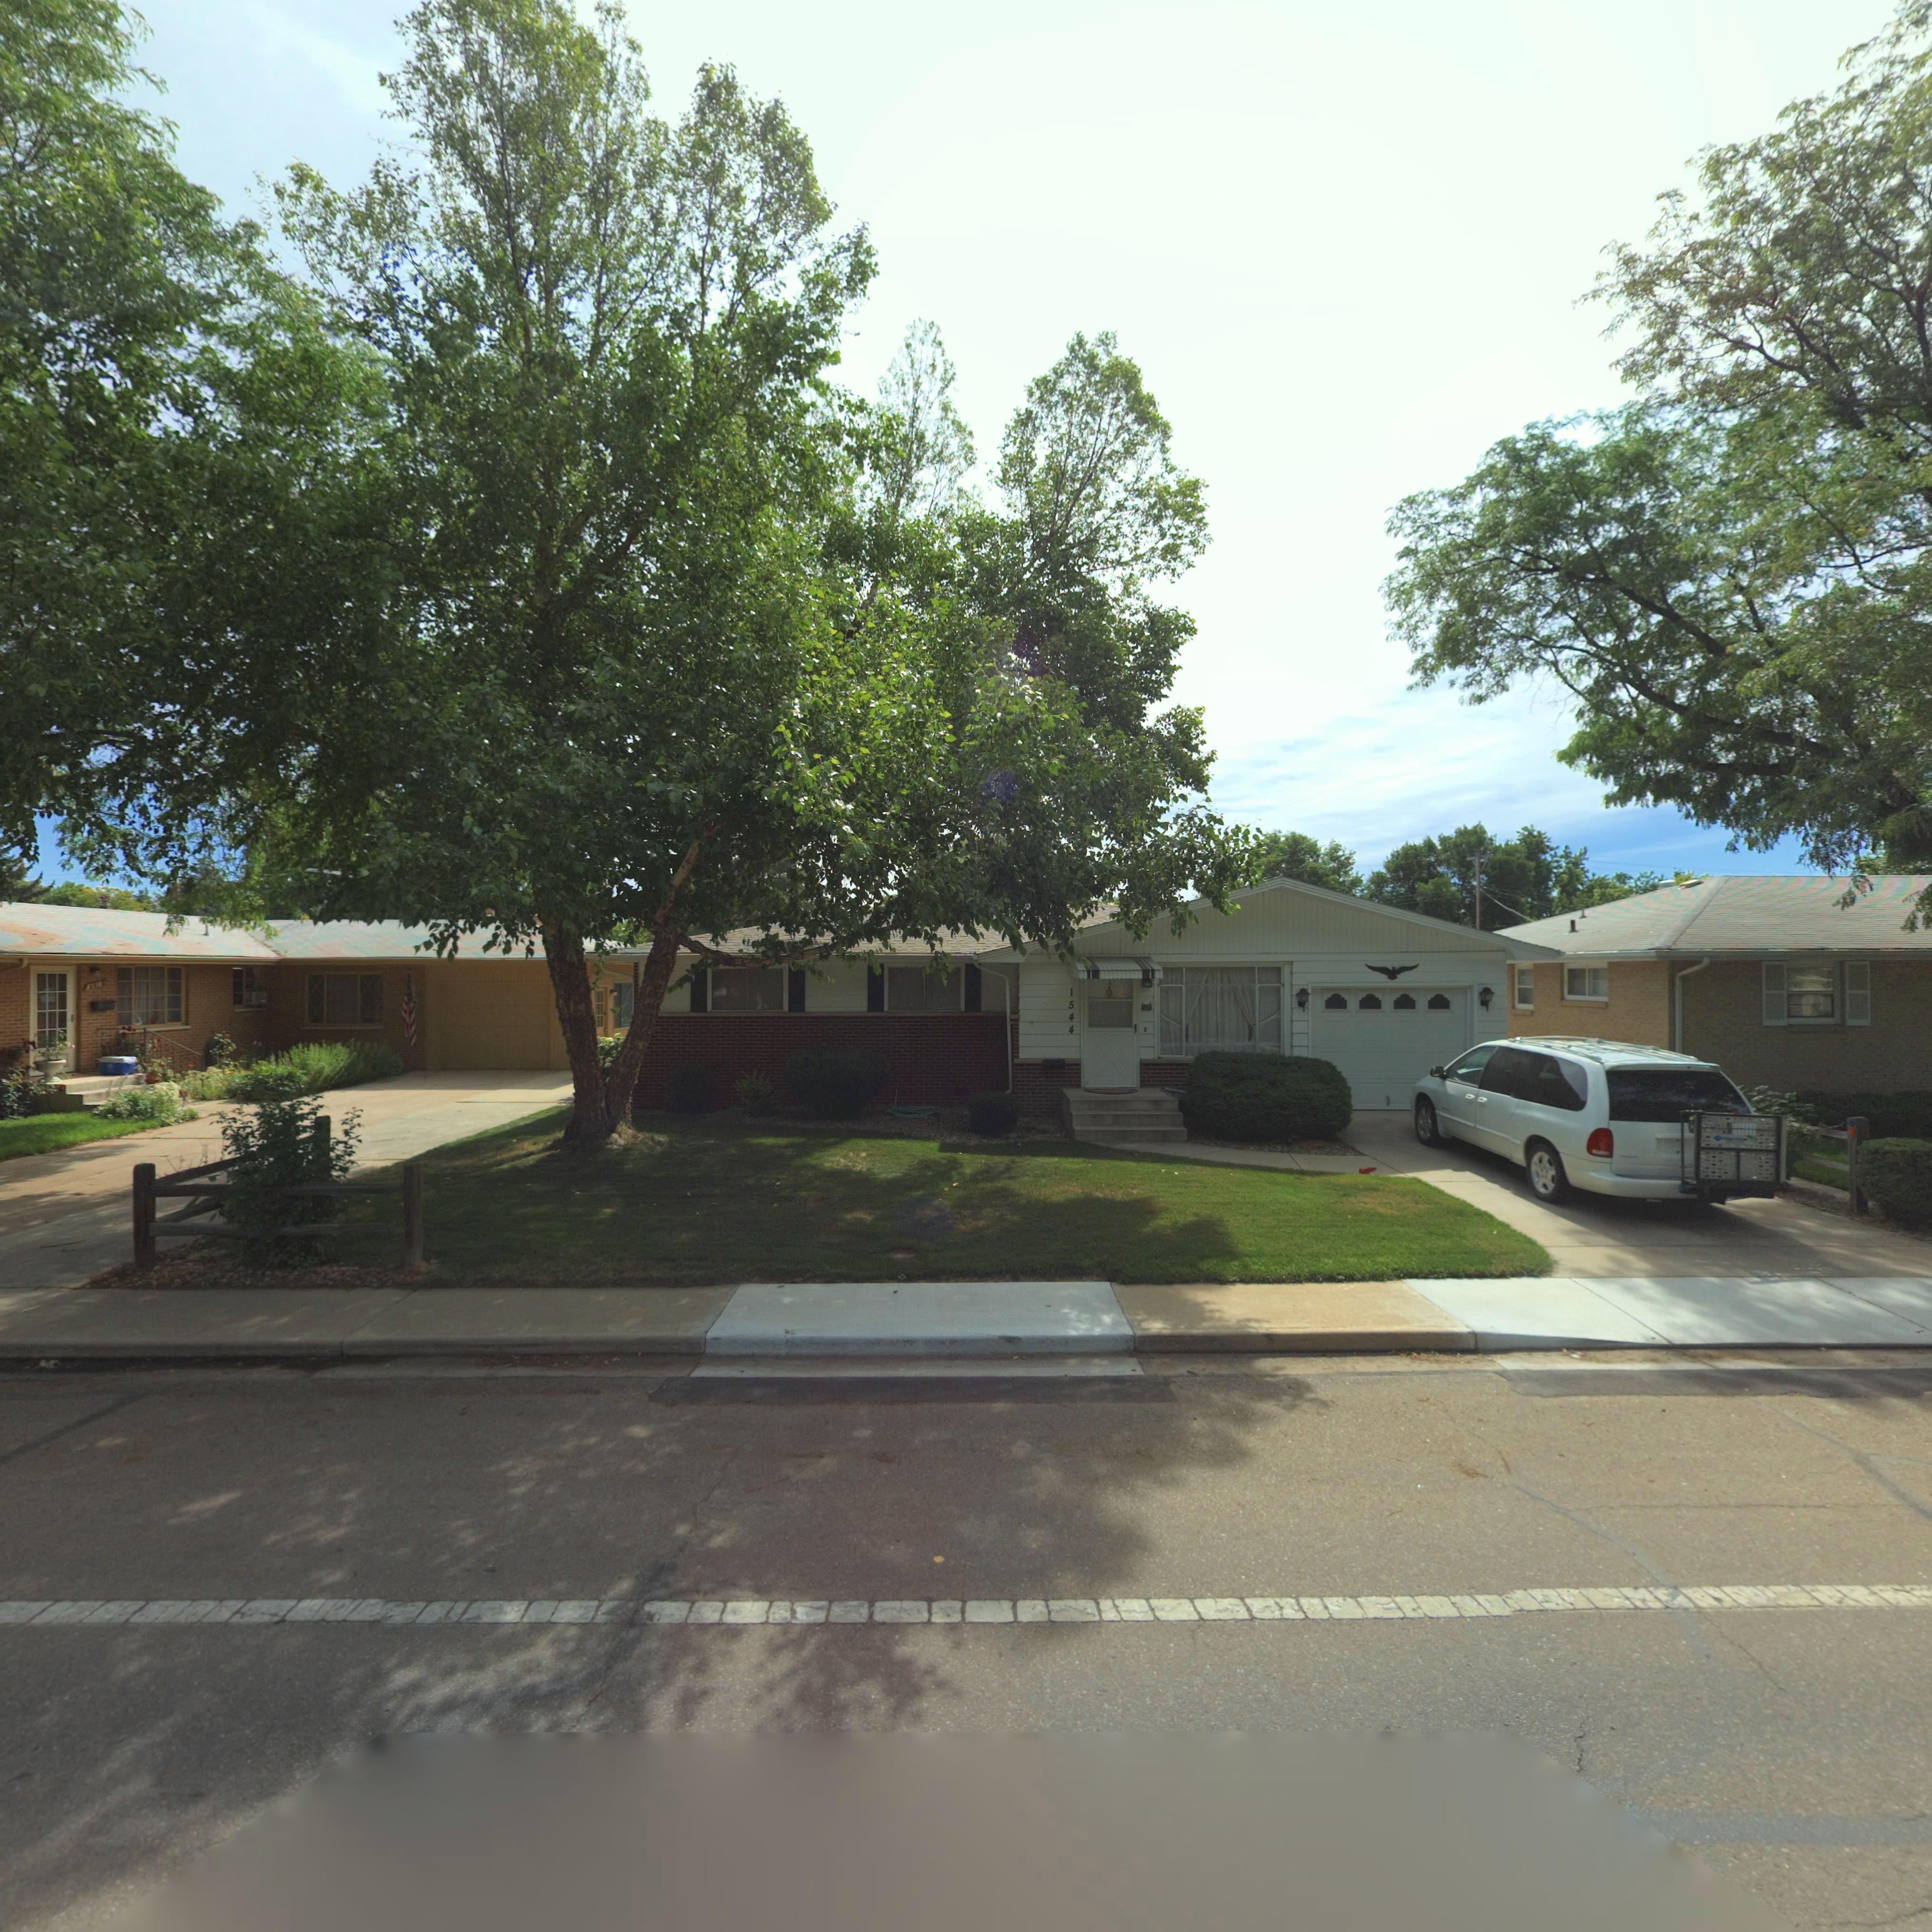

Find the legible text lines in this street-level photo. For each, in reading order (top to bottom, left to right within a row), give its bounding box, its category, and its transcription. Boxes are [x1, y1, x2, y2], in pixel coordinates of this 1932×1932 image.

[87, 980, 103, 990] StreetNumber: 155*
[1068, 986, 1075, 1035] StreetNumber: 1544